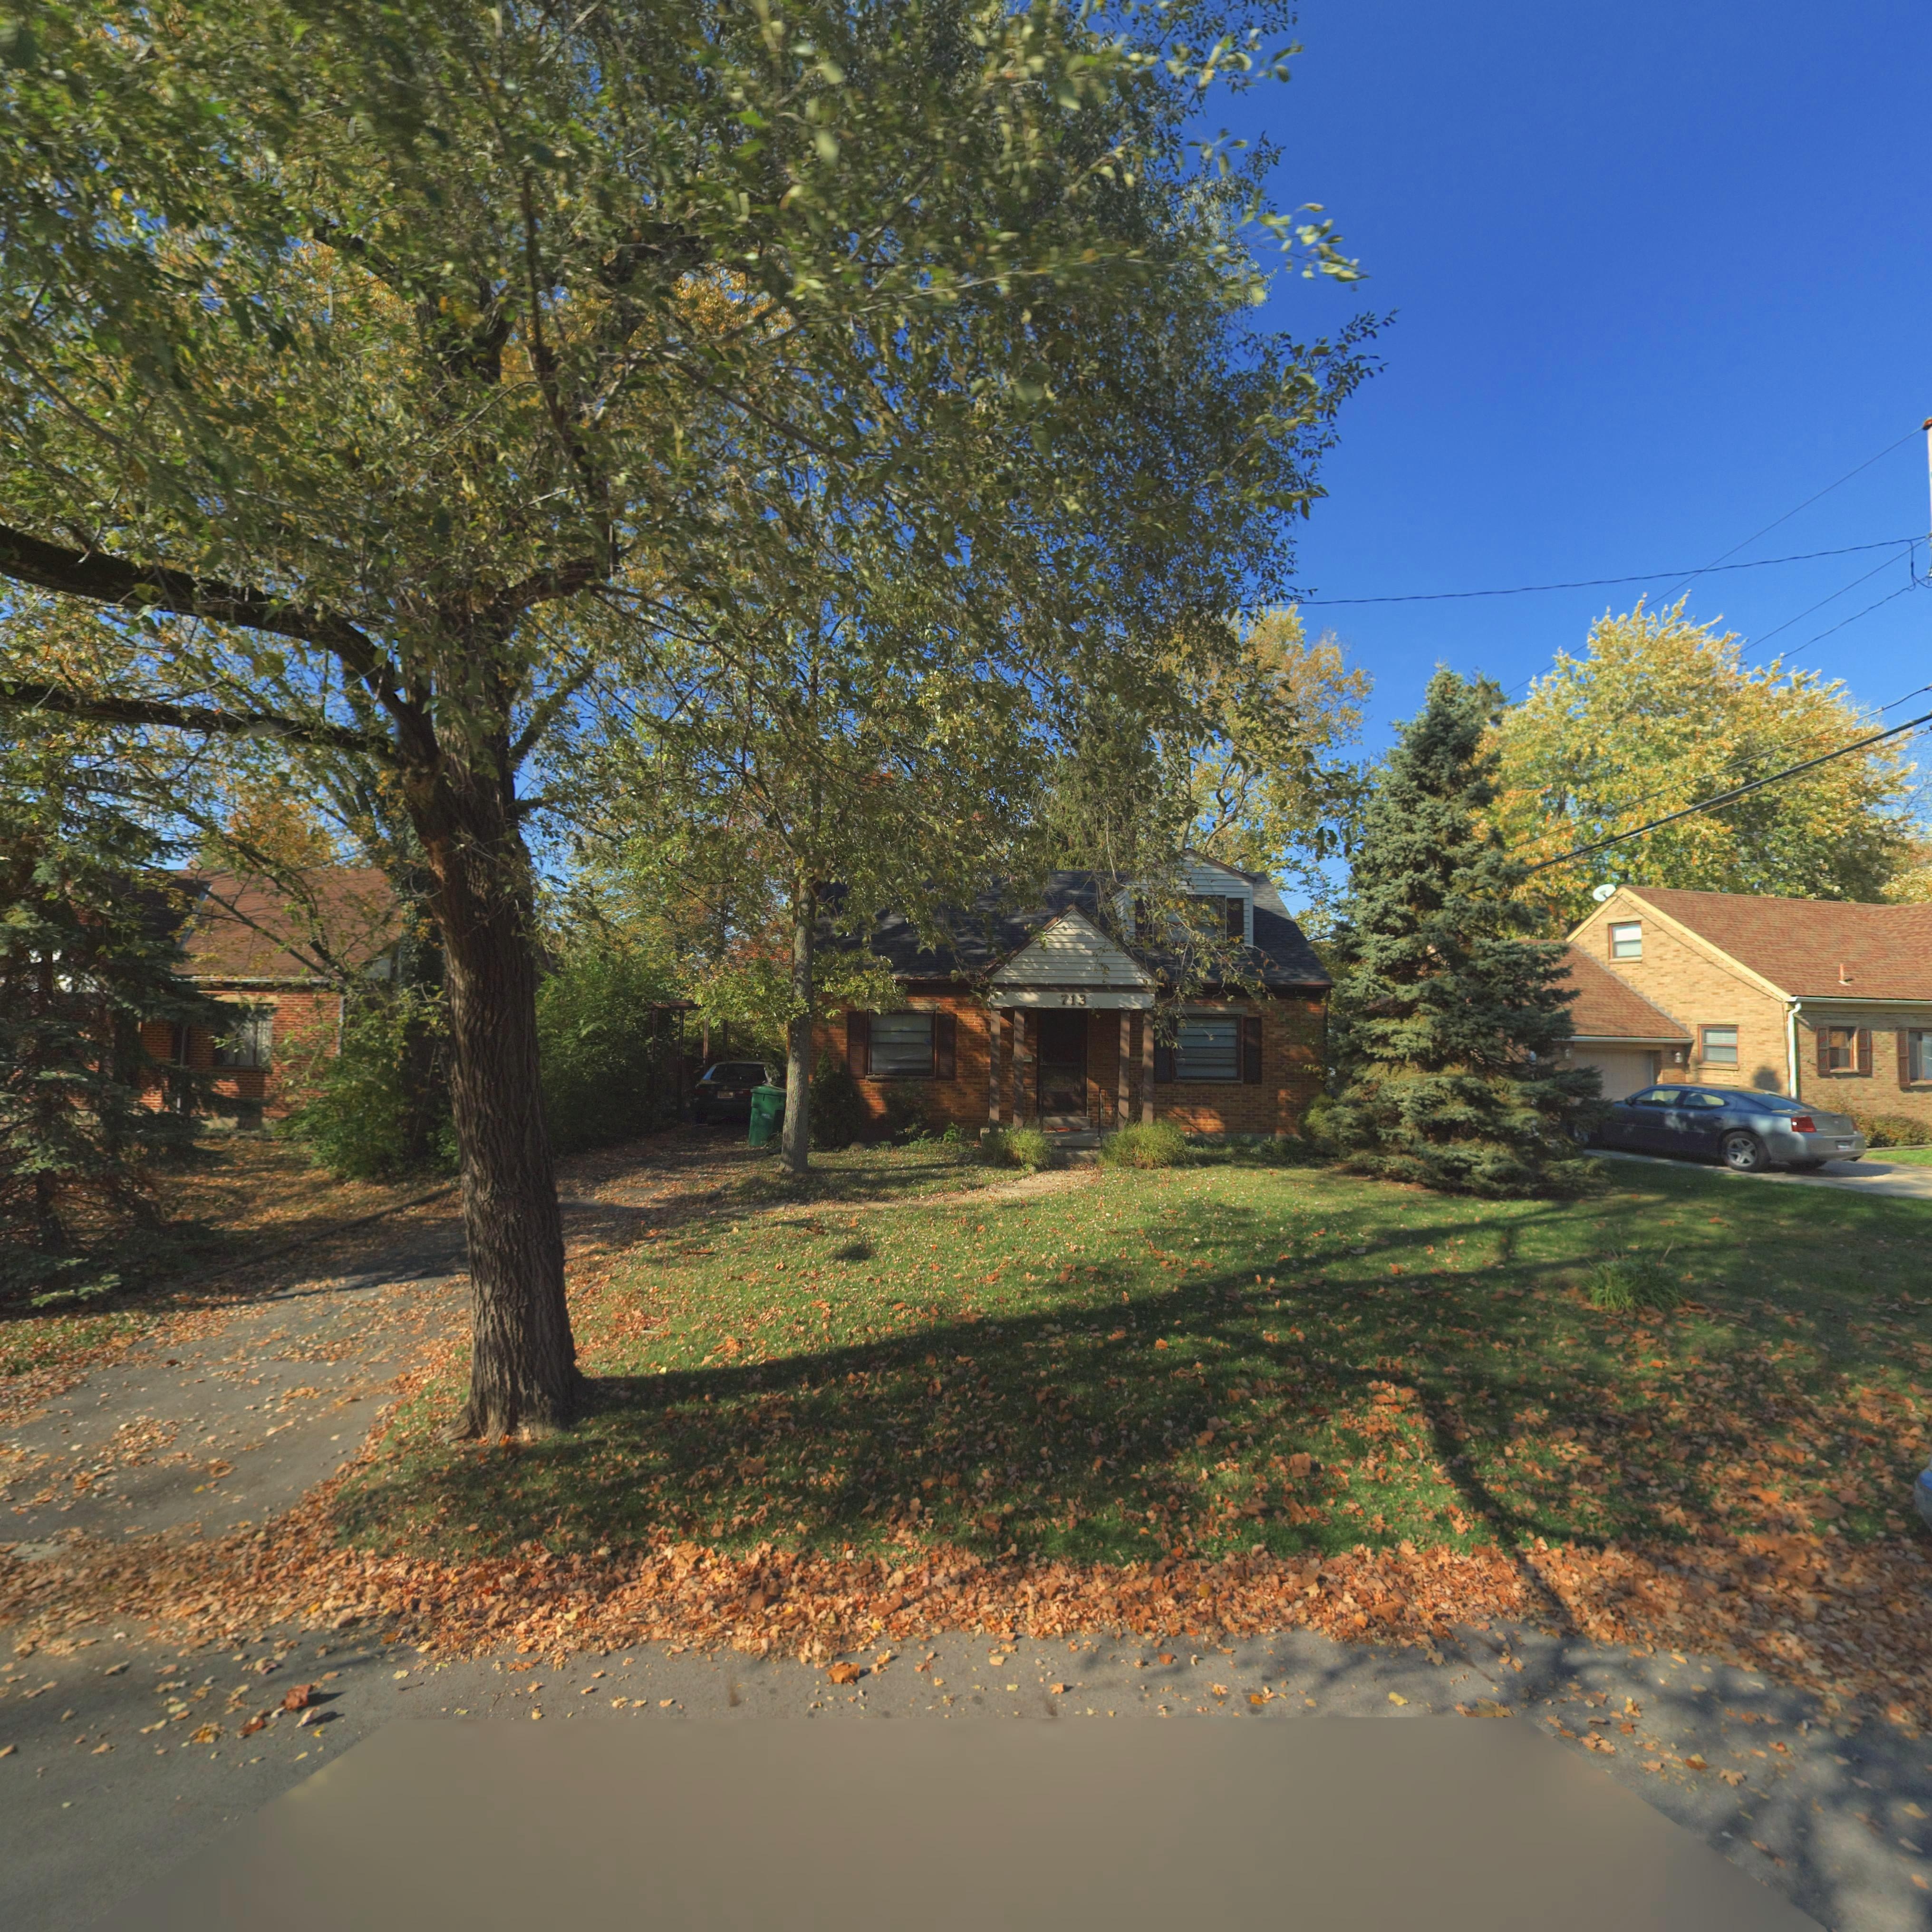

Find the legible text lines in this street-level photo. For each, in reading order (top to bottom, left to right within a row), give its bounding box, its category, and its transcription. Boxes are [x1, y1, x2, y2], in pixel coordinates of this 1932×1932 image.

[1060, 994, 1086, 1006] StreetNumber: 713